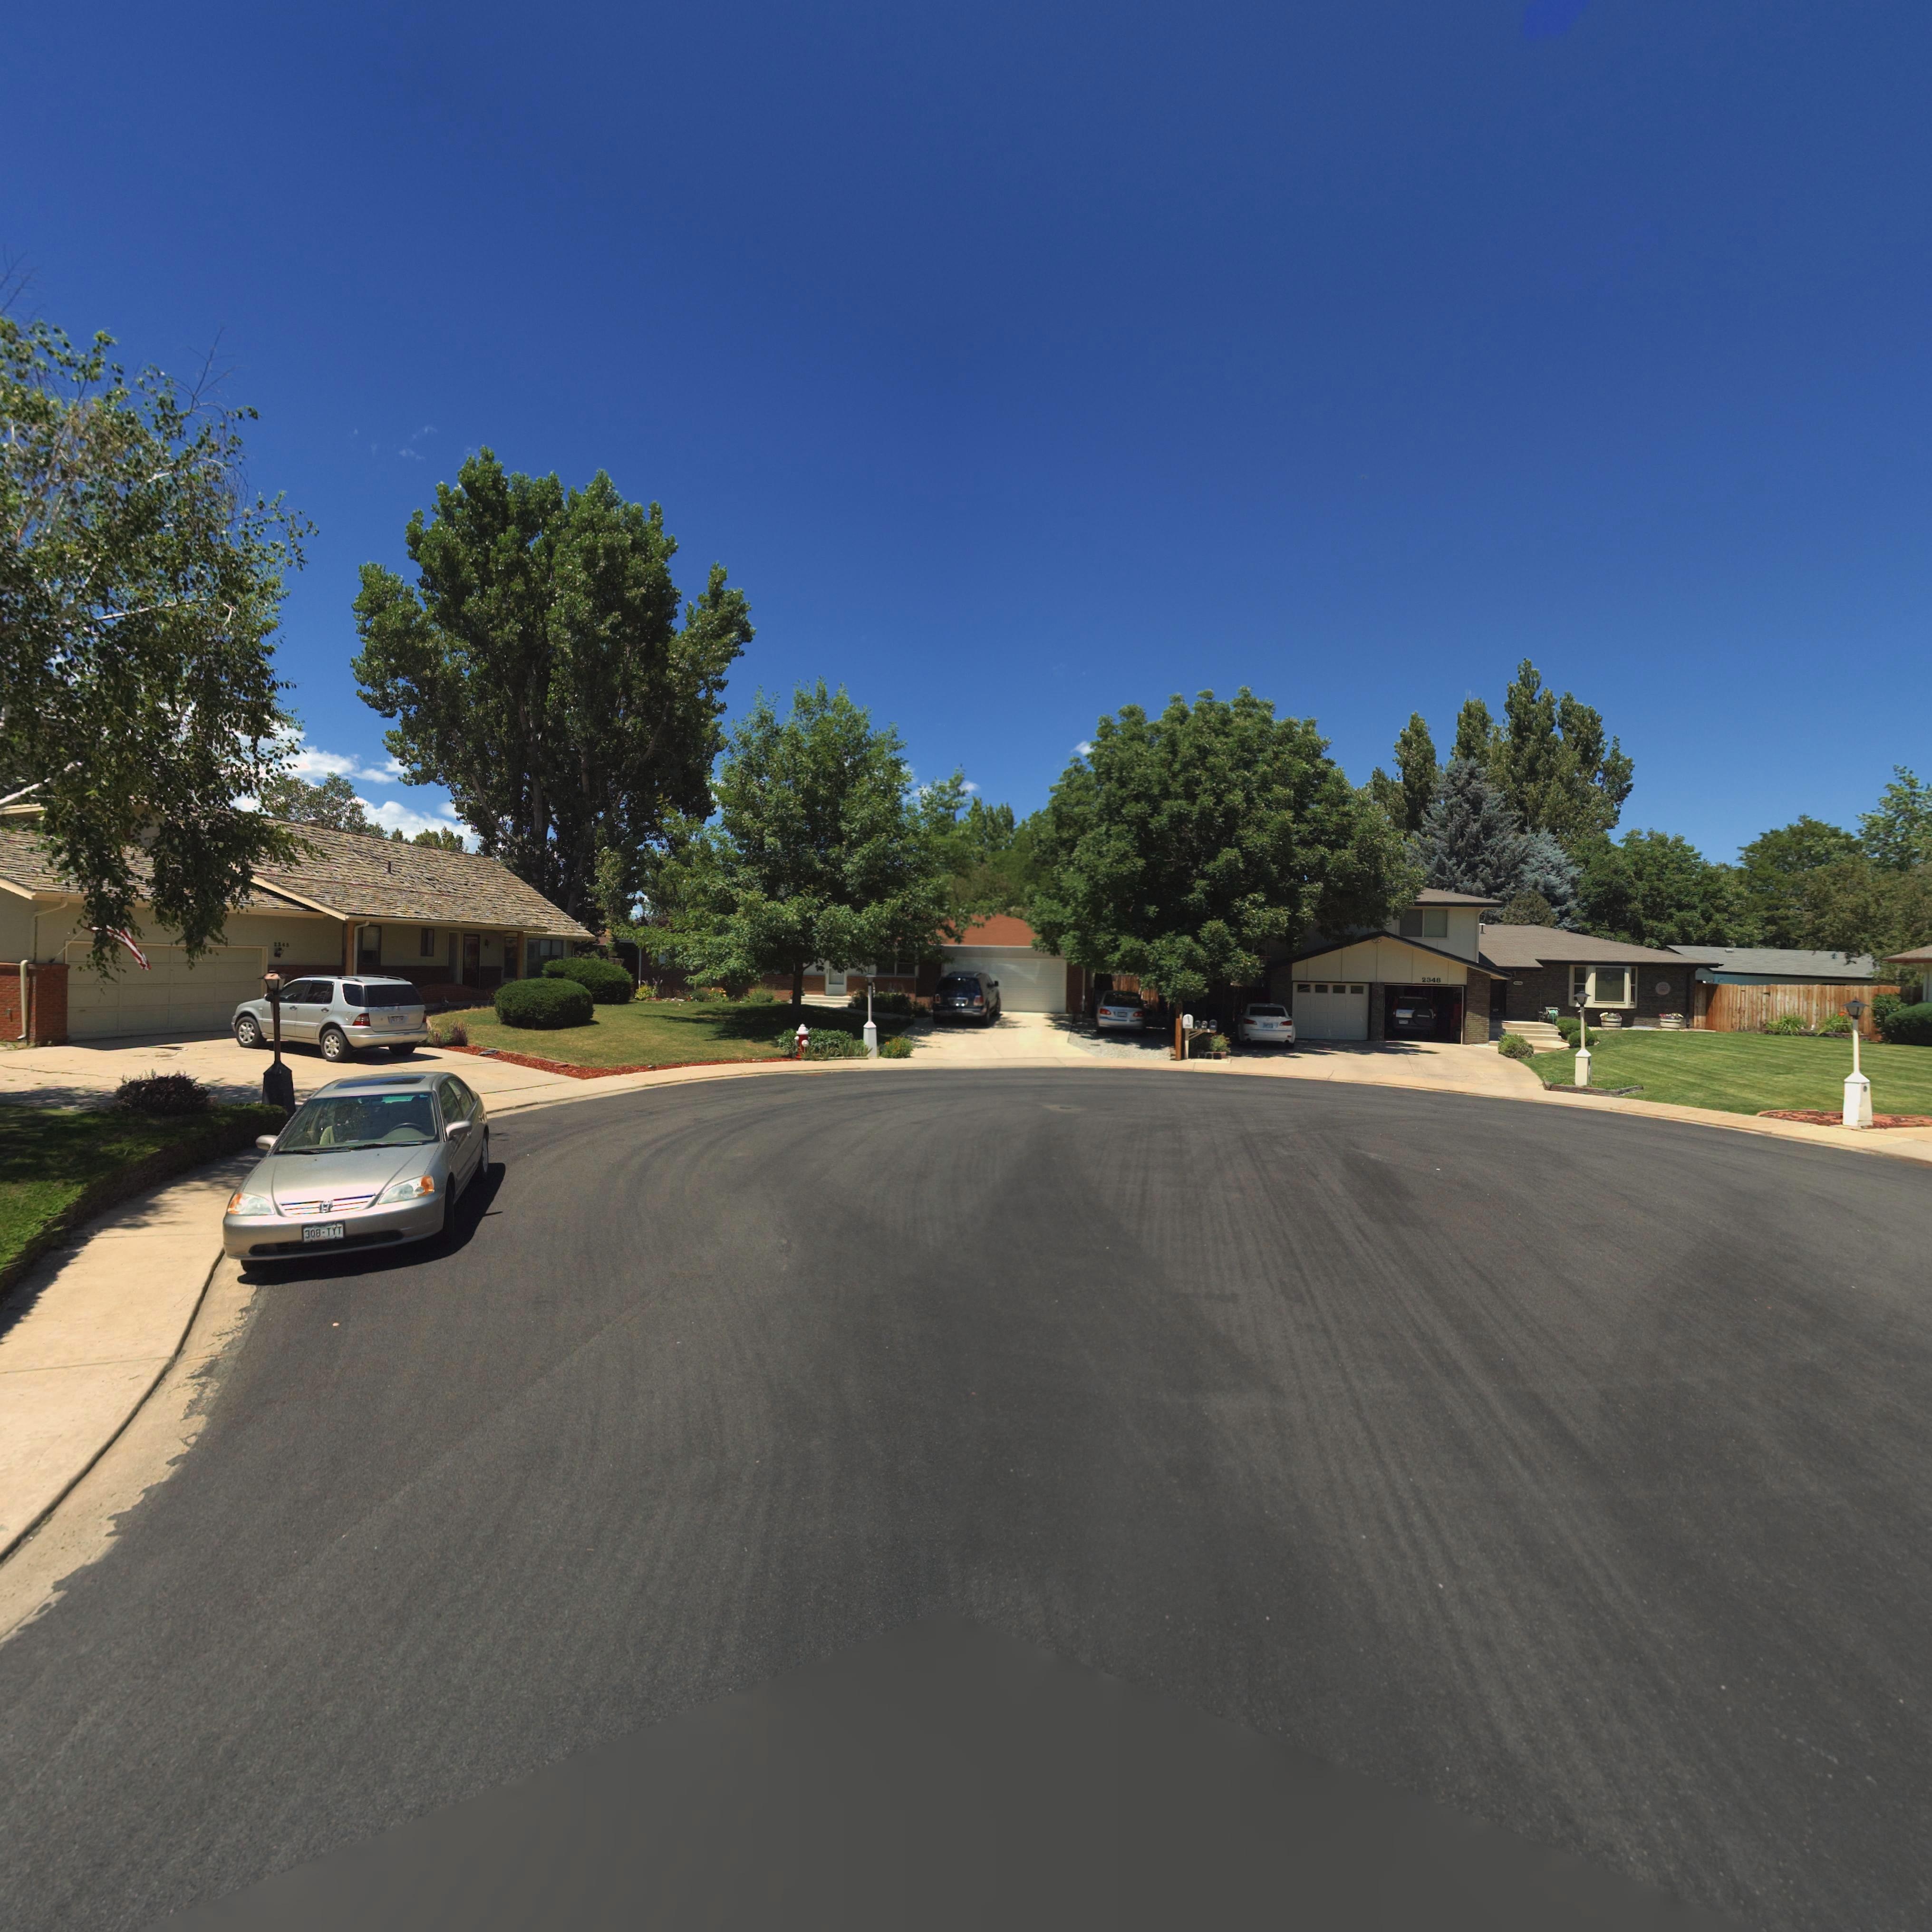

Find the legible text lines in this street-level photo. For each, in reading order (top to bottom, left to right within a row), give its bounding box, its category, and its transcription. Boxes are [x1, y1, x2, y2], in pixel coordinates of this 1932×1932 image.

[273, 941, 290, 947] StreetNumber: 2343
[1421, 976, 1441, 983] StreetNumber: 2348